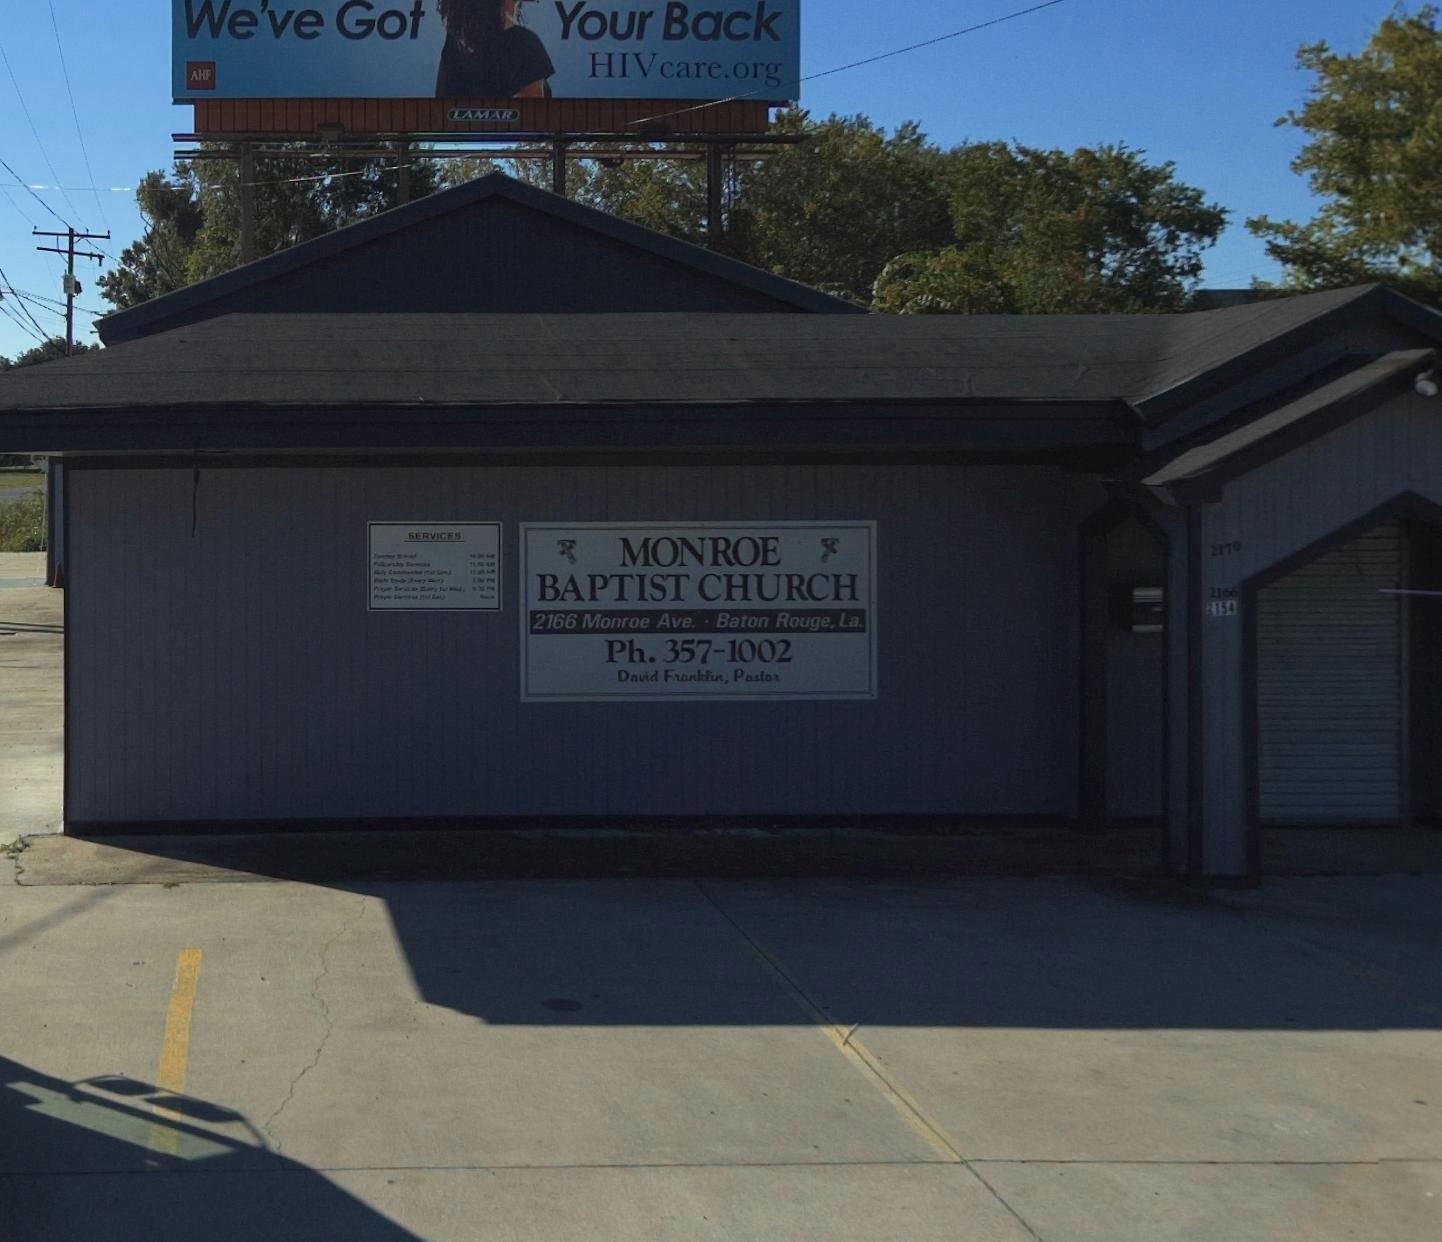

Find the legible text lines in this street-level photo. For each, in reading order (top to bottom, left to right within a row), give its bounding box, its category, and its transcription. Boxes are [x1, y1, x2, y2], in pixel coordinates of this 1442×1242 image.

[182, 0, 786, 44] None: We've Got * Your Back
[187, 66, 215, 83] None: AHF
[586, 50, 785, 90] None: HIVcare.org
[450, 107, 516, 122] None: LAMAR
[406, 529, 465, 543] None: SERVICES
[616, 534, 783, 570] BusinessName: MONROE
[1206, 537, 1245, 560] StreetNumber: 2170
[534, 570, 862, 605] BusinessName: BAPTIST CHURCH
[1205, 583, 1242, 602] StreetNumber: 2166
[1205, 599, 1237, 618] StreetNumber: *154
[529, 611, 580, 632] StreetNumber: 2166
[578, 610, 698, 631] StreetName: Monroe Ave.
[712, 609, 866, 634] None: Baton Rouge, La.
[602, 636, 797, 668] None: Ph. 357-1002
[615, 666, 783, 687] None: David Franklin, Paston